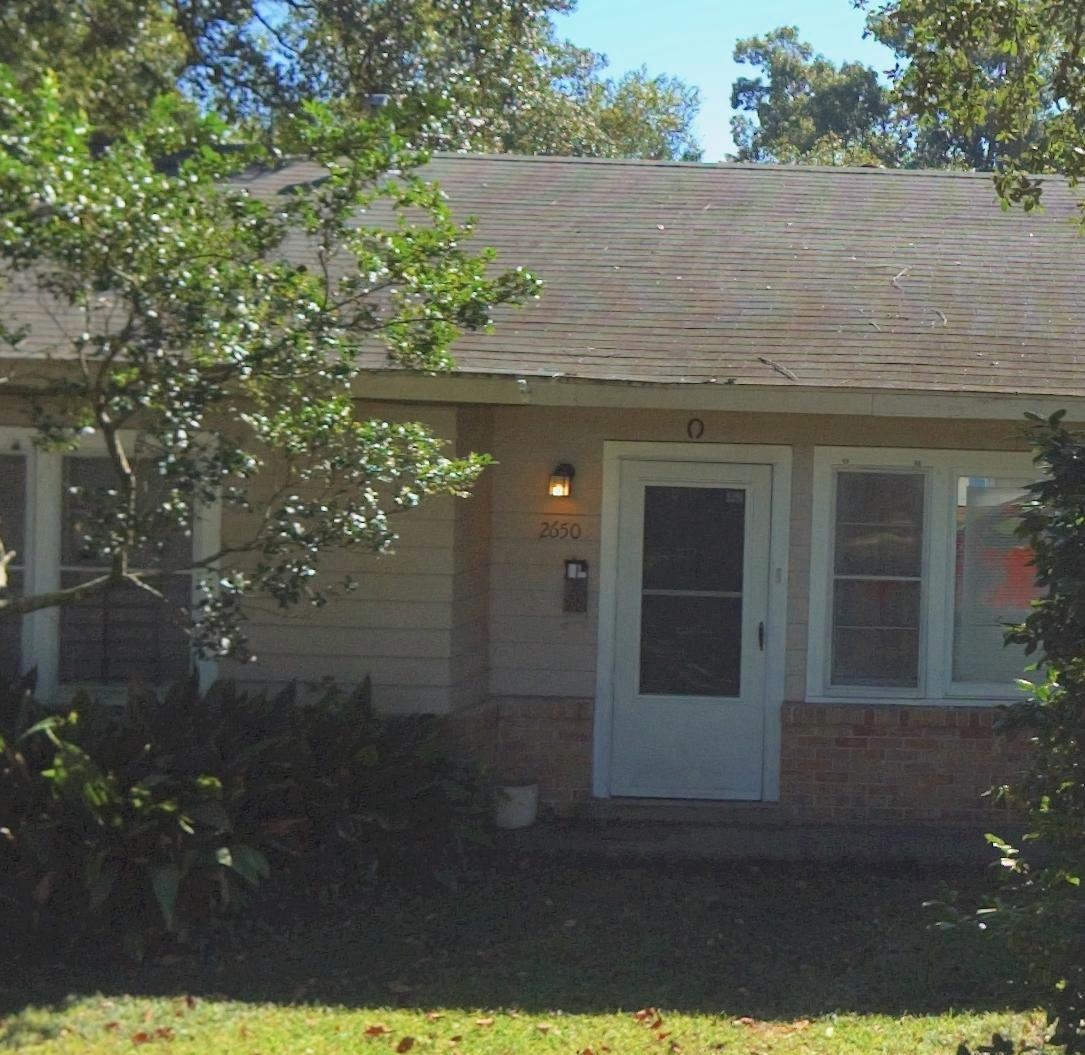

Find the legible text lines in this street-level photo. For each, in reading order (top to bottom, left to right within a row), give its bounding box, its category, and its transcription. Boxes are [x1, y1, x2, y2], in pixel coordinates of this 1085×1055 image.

[535, 518, 585, 543] StreetNumber: 2650